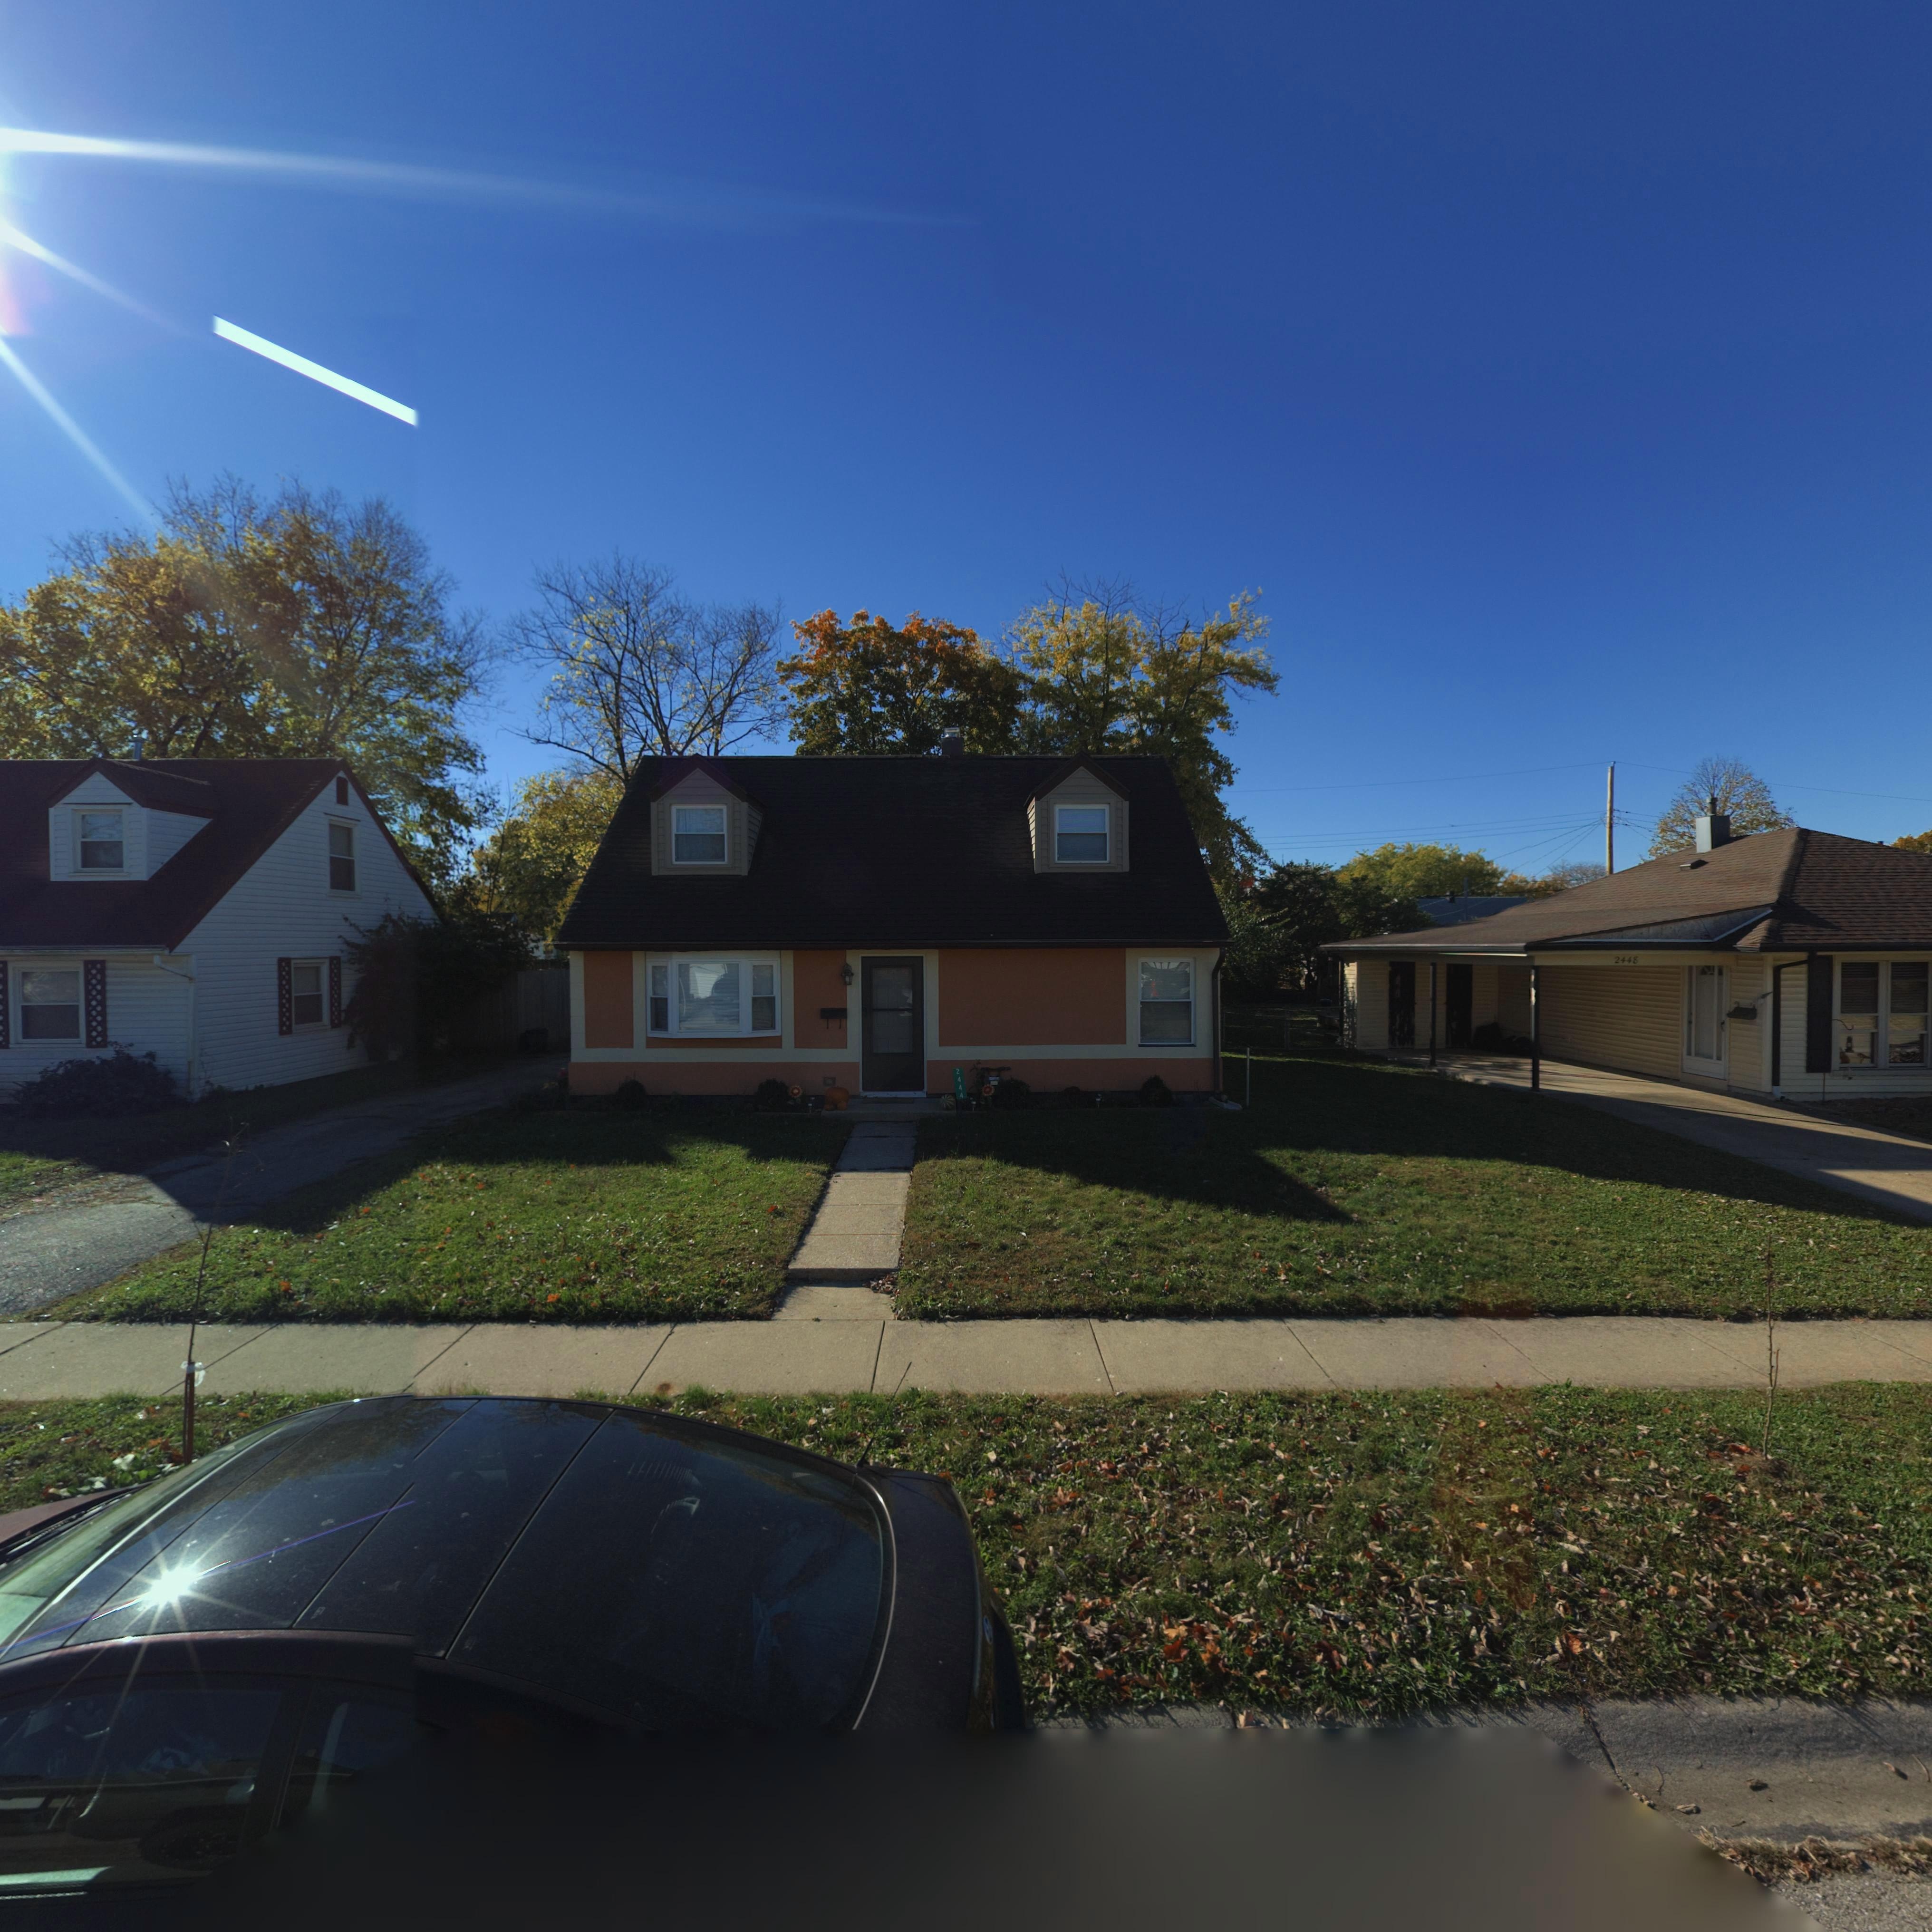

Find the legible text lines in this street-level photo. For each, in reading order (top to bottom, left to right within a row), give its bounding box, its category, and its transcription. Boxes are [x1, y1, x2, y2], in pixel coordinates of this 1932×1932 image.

[1613, 955, 1640, 965] StreetNumber: 2448
[954, 1067, 965, 1099] StreetNumber: 2444